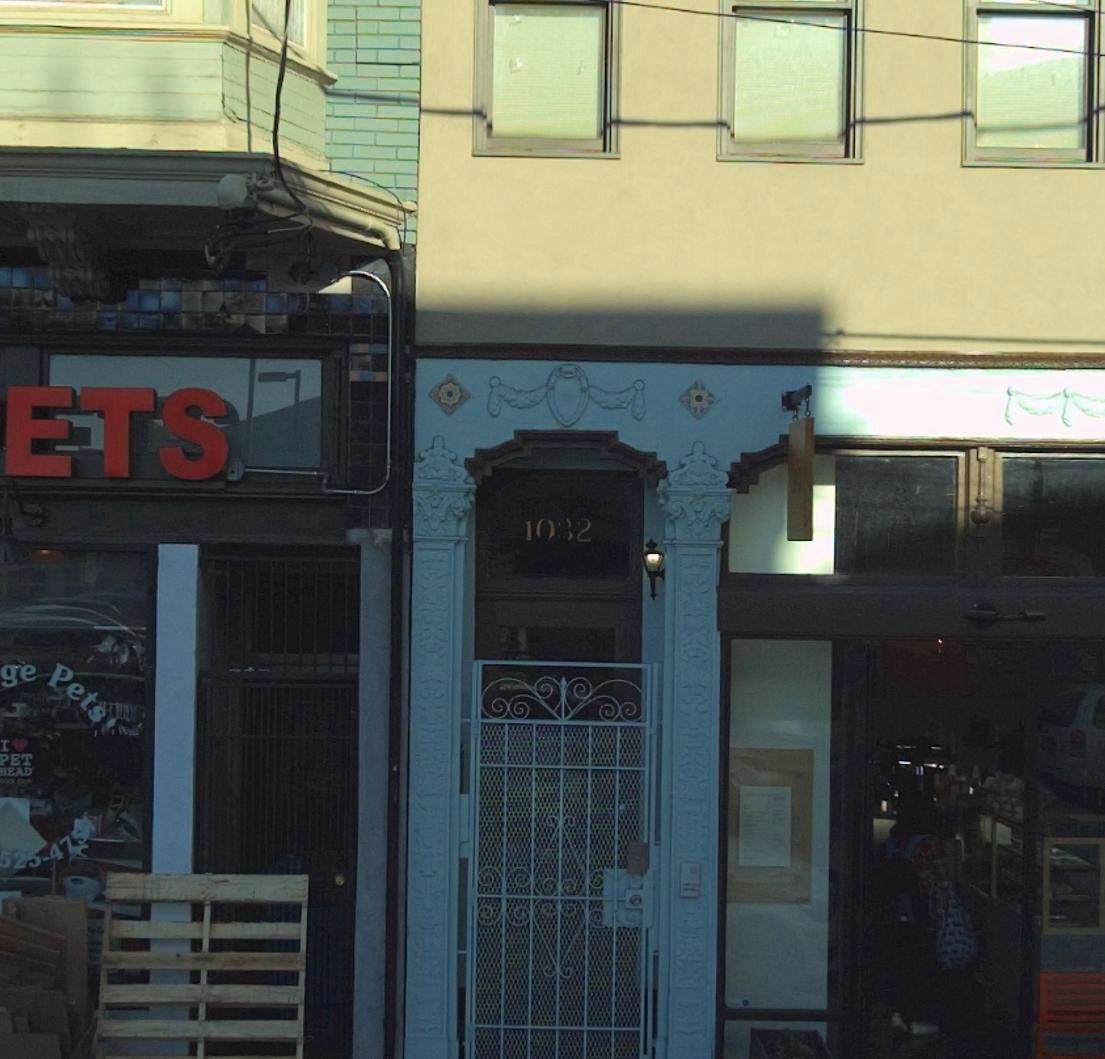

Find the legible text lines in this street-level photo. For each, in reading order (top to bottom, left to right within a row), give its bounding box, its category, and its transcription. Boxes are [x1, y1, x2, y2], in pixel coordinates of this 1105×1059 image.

[2, 381, 233, 484] BusinessName: ETS
[522, 517, 593, 544] StreetNumber: 1032
[0, 659, 110, 728] BusinessName: ge Pets
[0, 738, 11, 753] None: I
[0, 752, 33, 767] None: PET
[7, 766, 34, 777] None: EAD
[0, 812, 100, 871] None: 525-475*